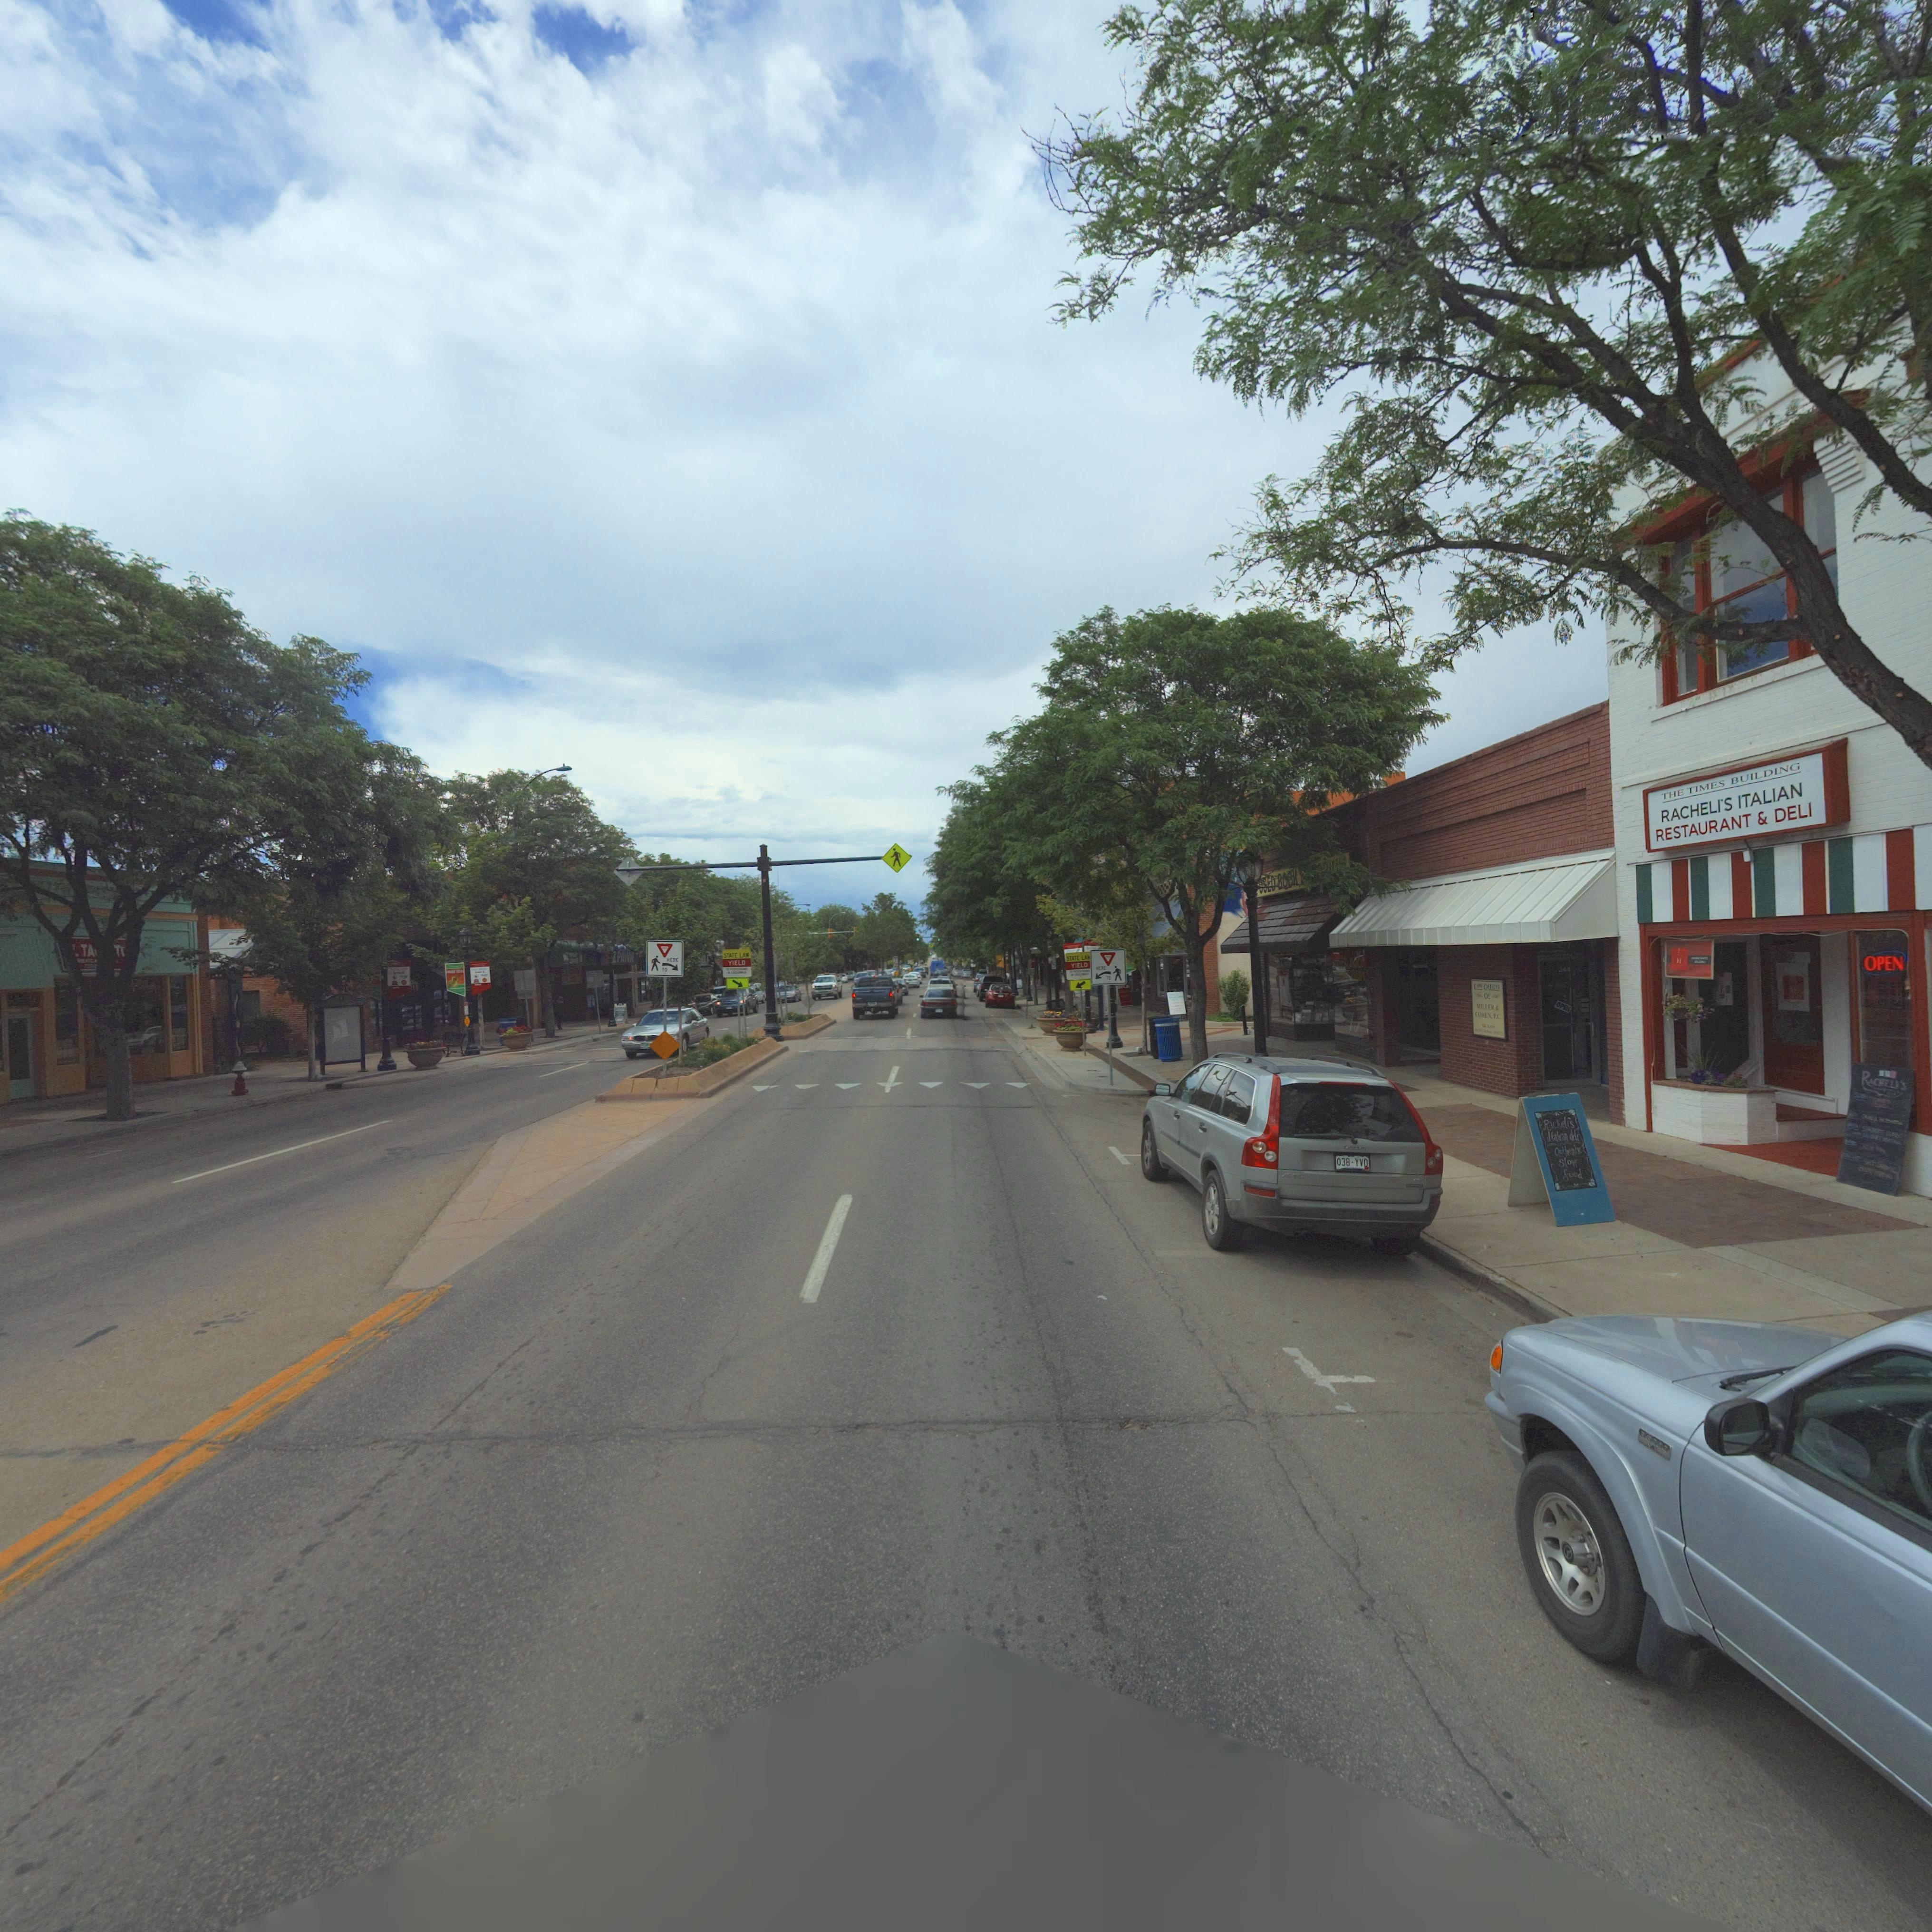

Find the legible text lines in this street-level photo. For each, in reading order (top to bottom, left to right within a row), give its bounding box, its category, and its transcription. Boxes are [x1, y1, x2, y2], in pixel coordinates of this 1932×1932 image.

[1661, 781, 1803, 823] BusinessName: RACHELI'S ITALIAN
[1258, 857, 1346, 894] BusinessName: USED BO*K *******
[65, 944, 128, 957] BusinessName: ** TA****T*
[1558, 966, 1571, 972] StreetNumber: 344
[1474, 983, 1500, 991] BusinessName: LAW OFFICES
[1483, 992, 1490, 1000] BusinessName: Of
[1476, 1003, 1499, 1011] BusinessName: MILLER &
[1474, 1011, 1501, 1019] BusinessName: COHEN, P.C.
[1861, 1069, 1908, 1091] BusinessName: RACHELI'S
[1542, 1115, 1575, 1130] BusinessName: Racheli's
[1546, 1129, 1580, 1143] BusinessName: Italian d*l*